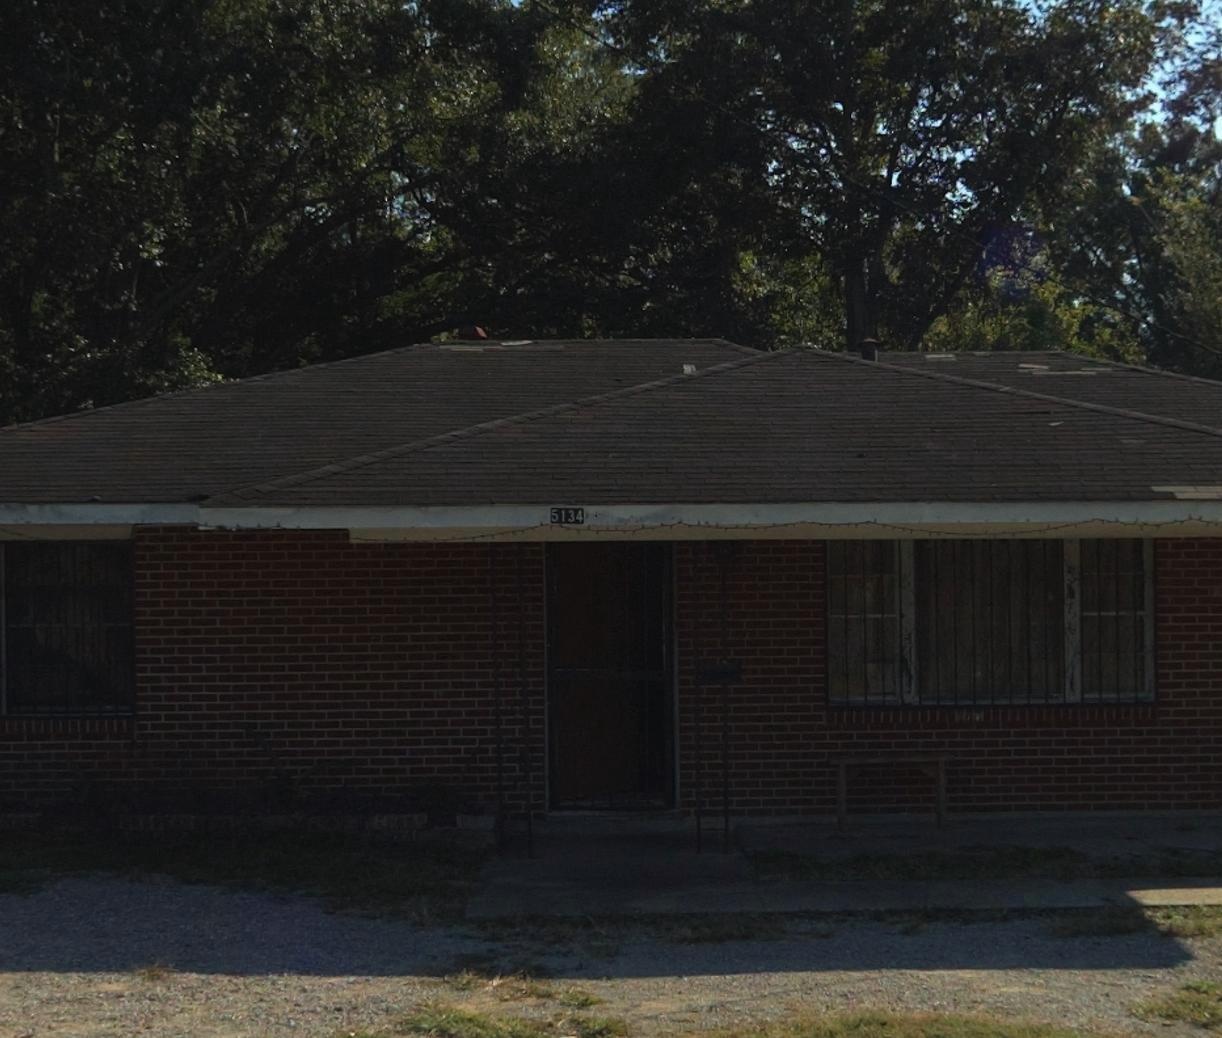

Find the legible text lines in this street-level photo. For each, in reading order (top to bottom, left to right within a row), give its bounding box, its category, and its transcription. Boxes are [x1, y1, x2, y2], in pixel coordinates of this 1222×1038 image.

[550, 508, 584, 523] StreetNumber: 5134